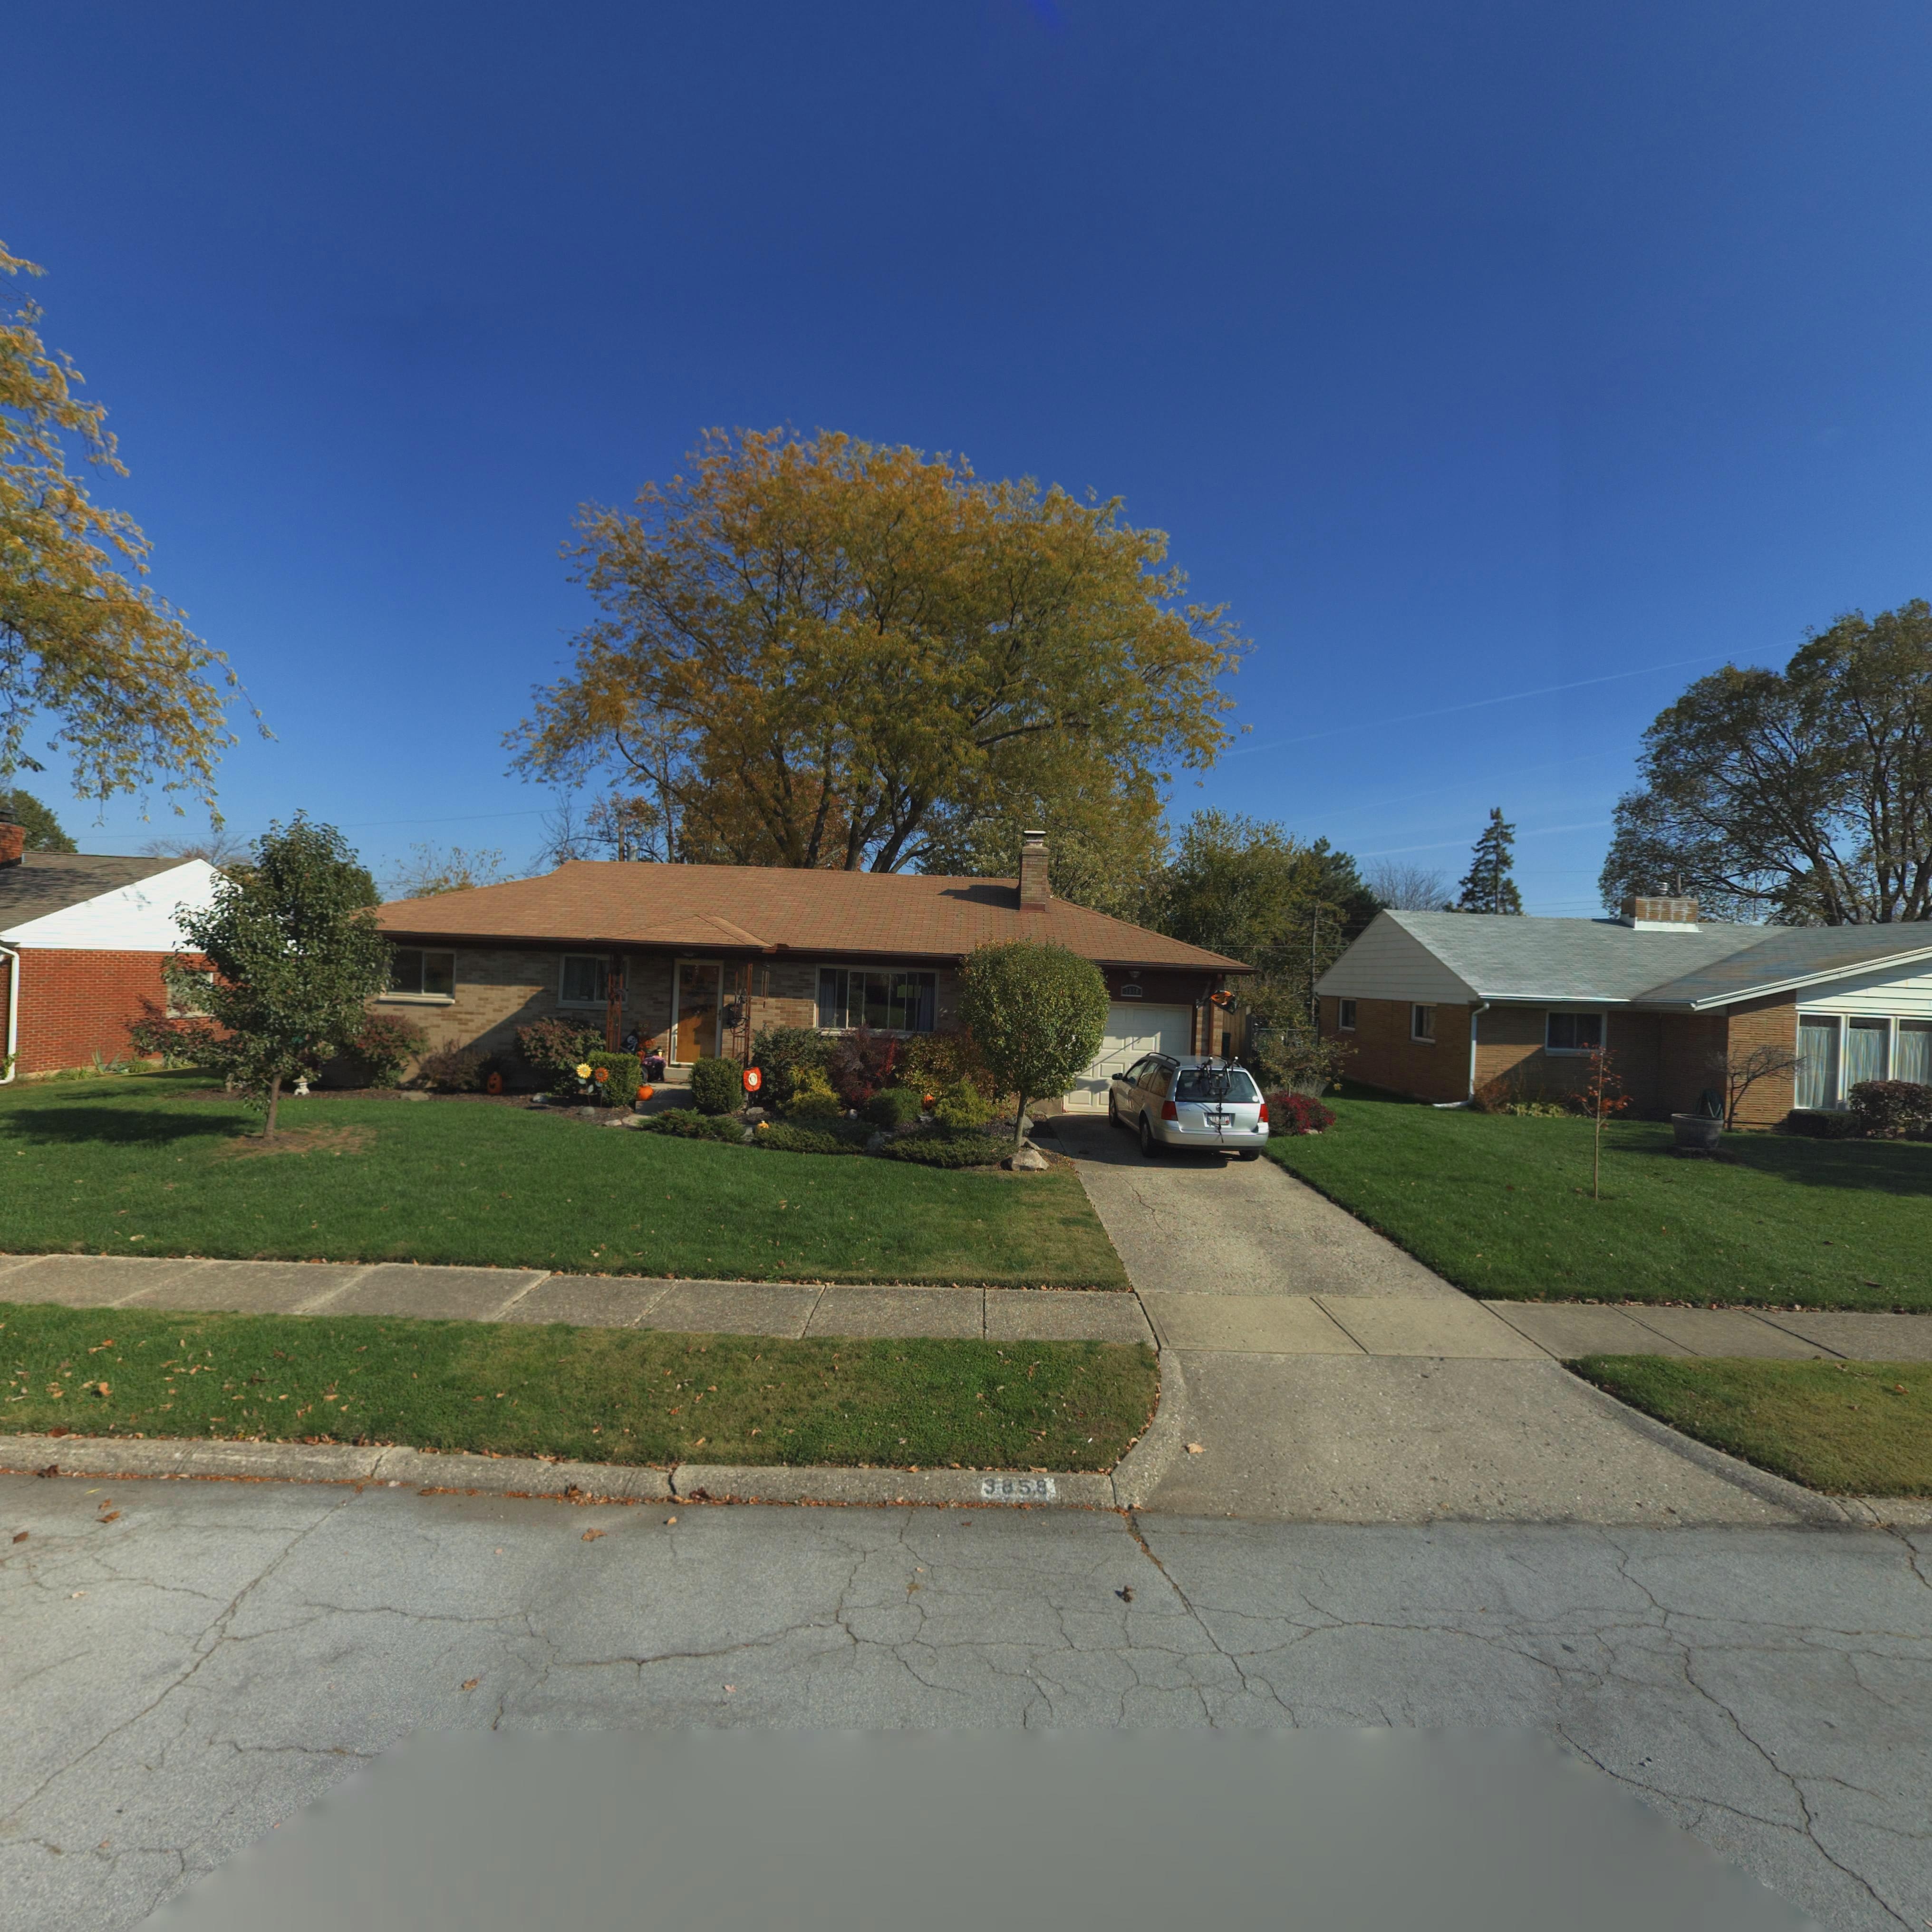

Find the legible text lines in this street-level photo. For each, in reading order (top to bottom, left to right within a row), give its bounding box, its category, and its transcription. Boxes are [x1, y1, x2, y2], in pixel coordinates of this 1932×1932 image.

[984, 1478, 1048, 1495] StreetNumber: 3858